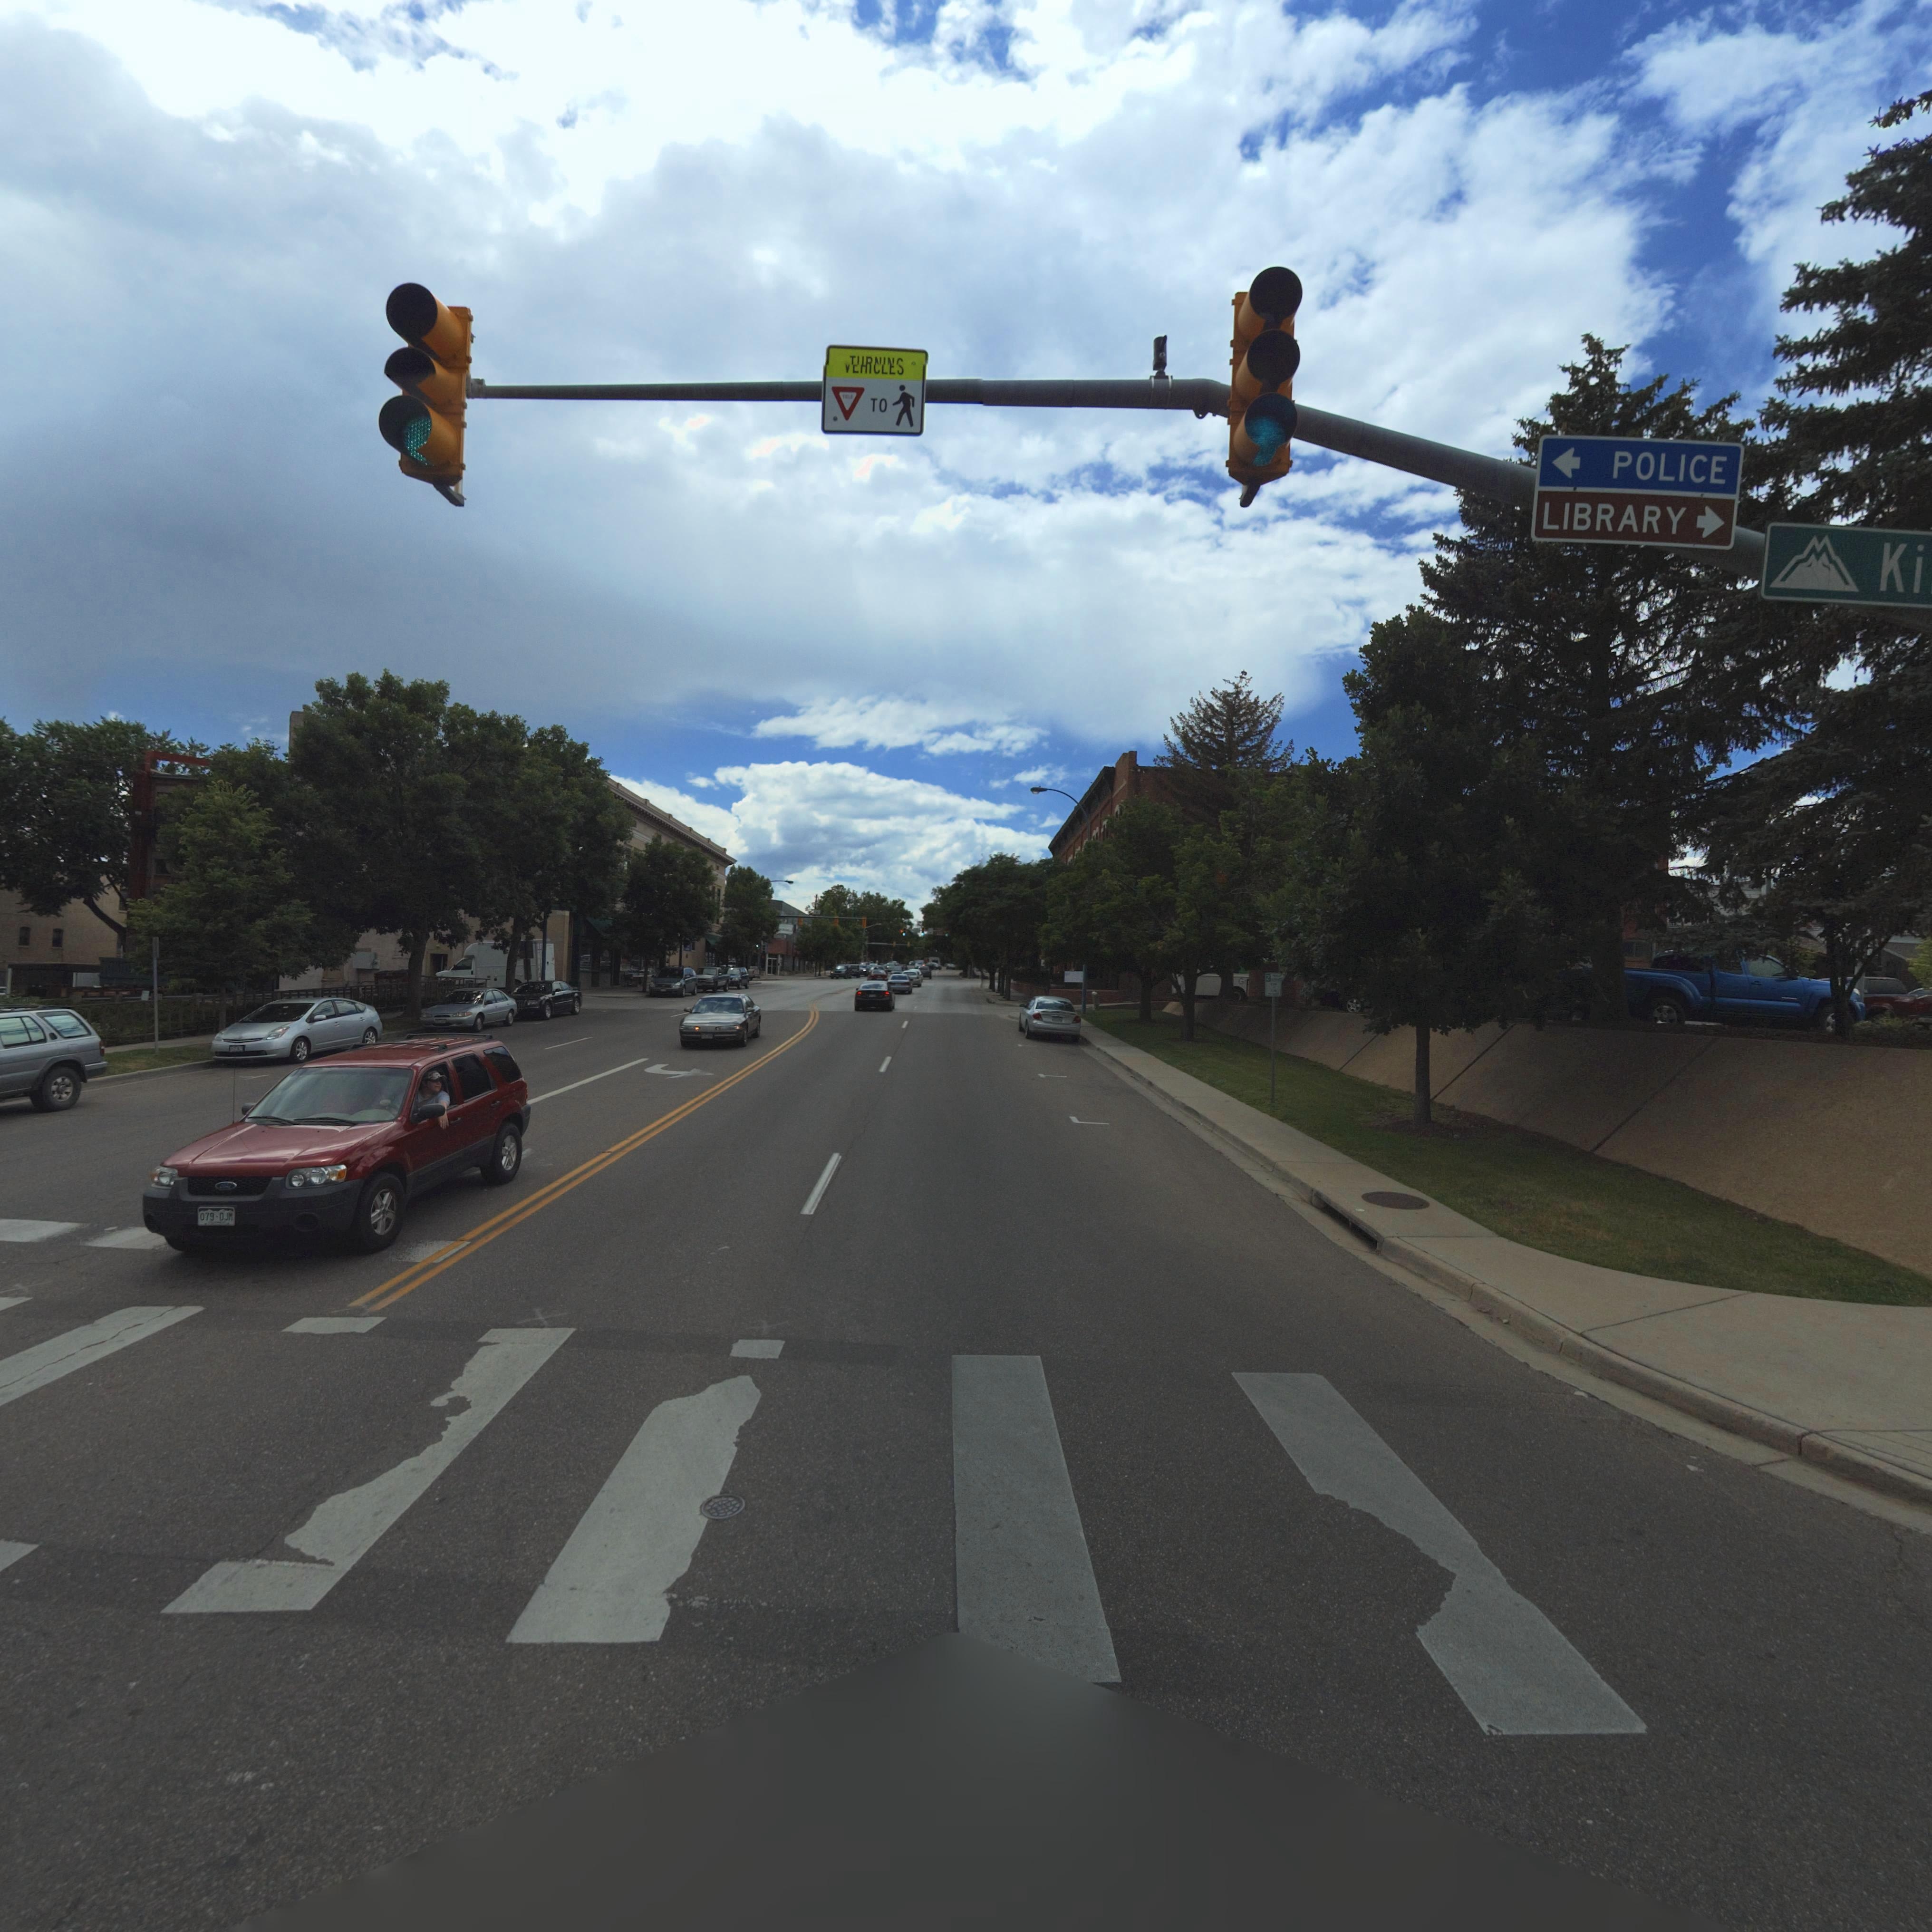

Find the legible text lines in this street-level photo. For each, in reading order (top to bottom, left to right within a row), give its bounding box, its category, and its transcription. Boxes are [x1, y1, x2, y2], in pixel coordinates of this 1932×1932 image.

[1878, 541, 1925, 593] StreetName: Ki